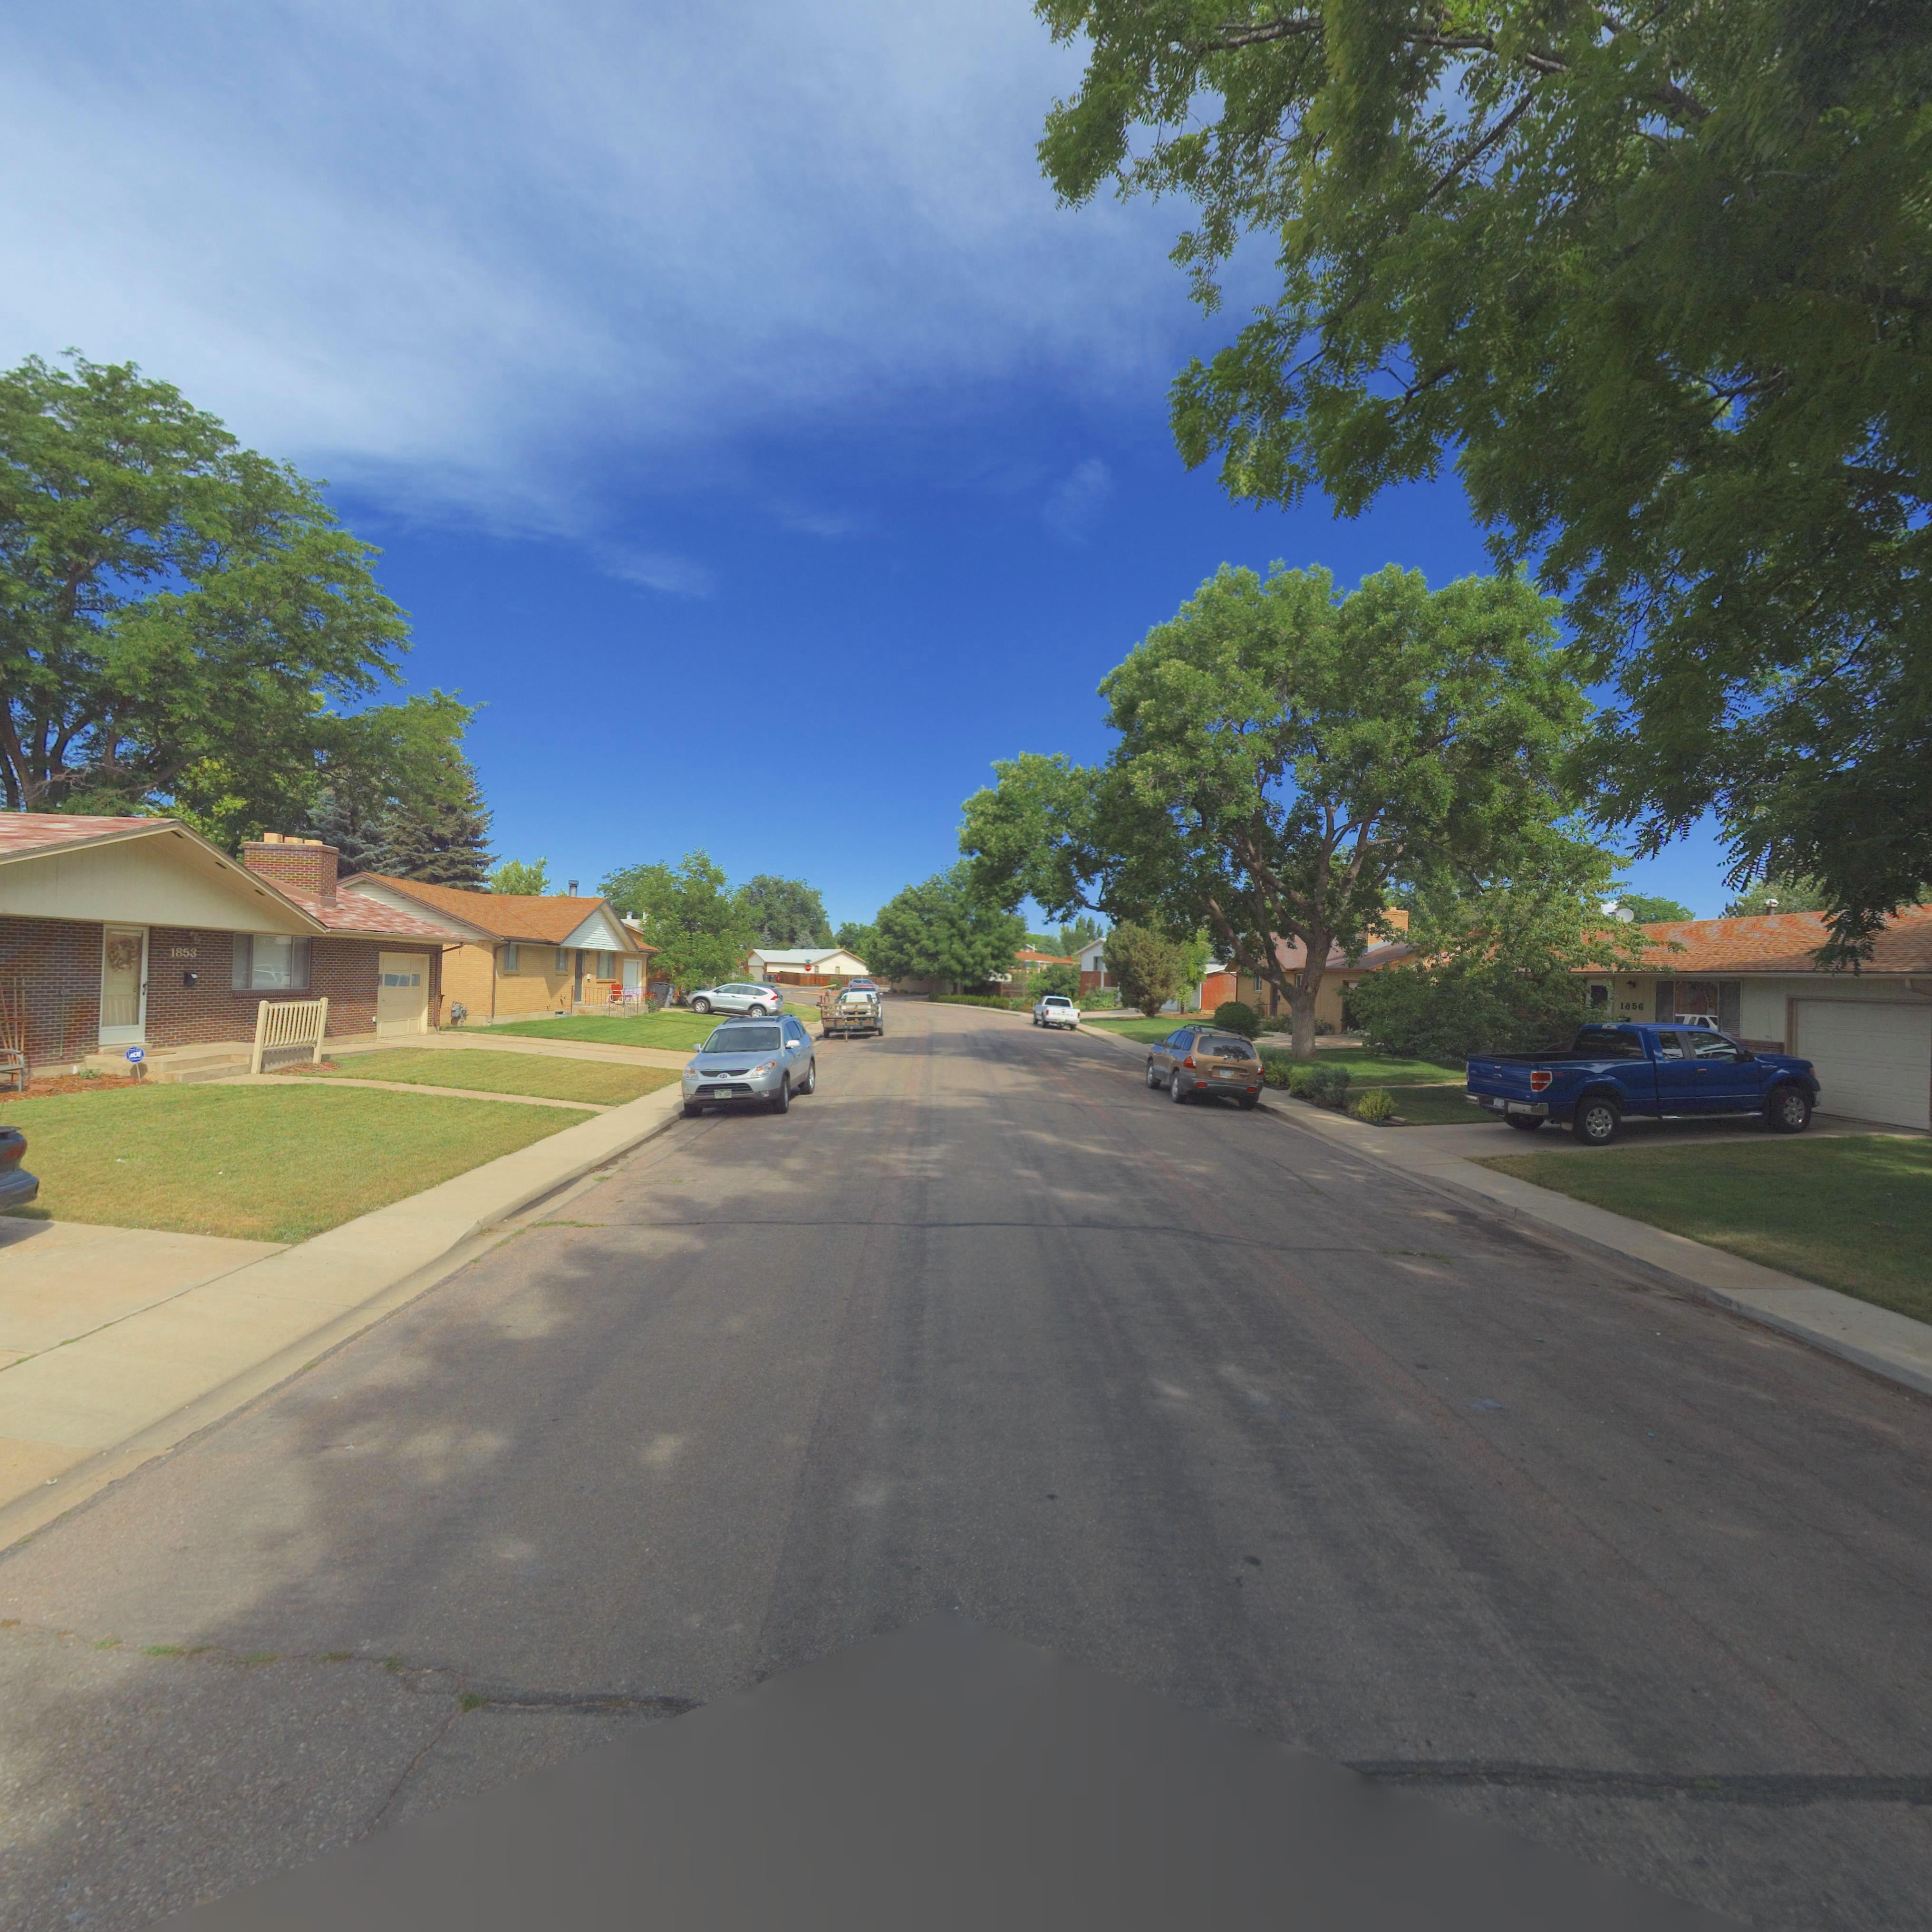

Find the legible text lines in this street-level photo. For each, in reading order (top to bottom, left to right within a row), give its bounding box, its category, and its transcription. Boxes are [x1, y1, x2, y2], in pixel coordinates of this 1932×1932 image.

[170, 947, 197, 958] StreetNumber: 1853
[1620, 1002, 1643, 1011] StreetNumber: 1856